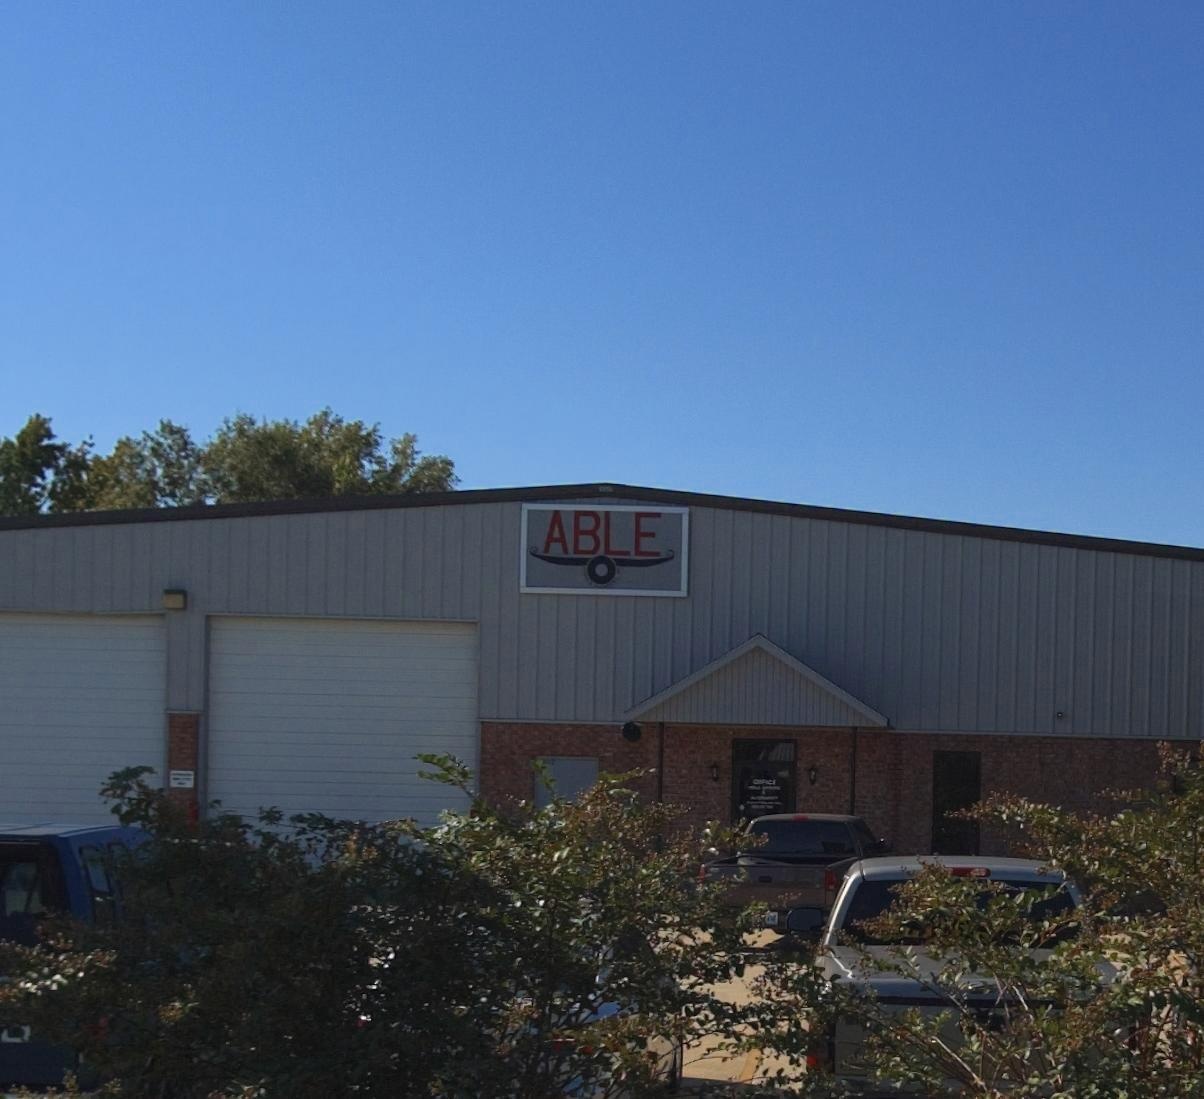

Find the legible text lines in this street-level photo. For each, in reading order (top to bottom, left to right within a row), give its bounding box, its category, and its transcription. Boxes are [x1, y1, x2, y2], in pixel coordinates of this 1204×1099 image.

[539, 508, 663, 559] BusinessName: ABLE